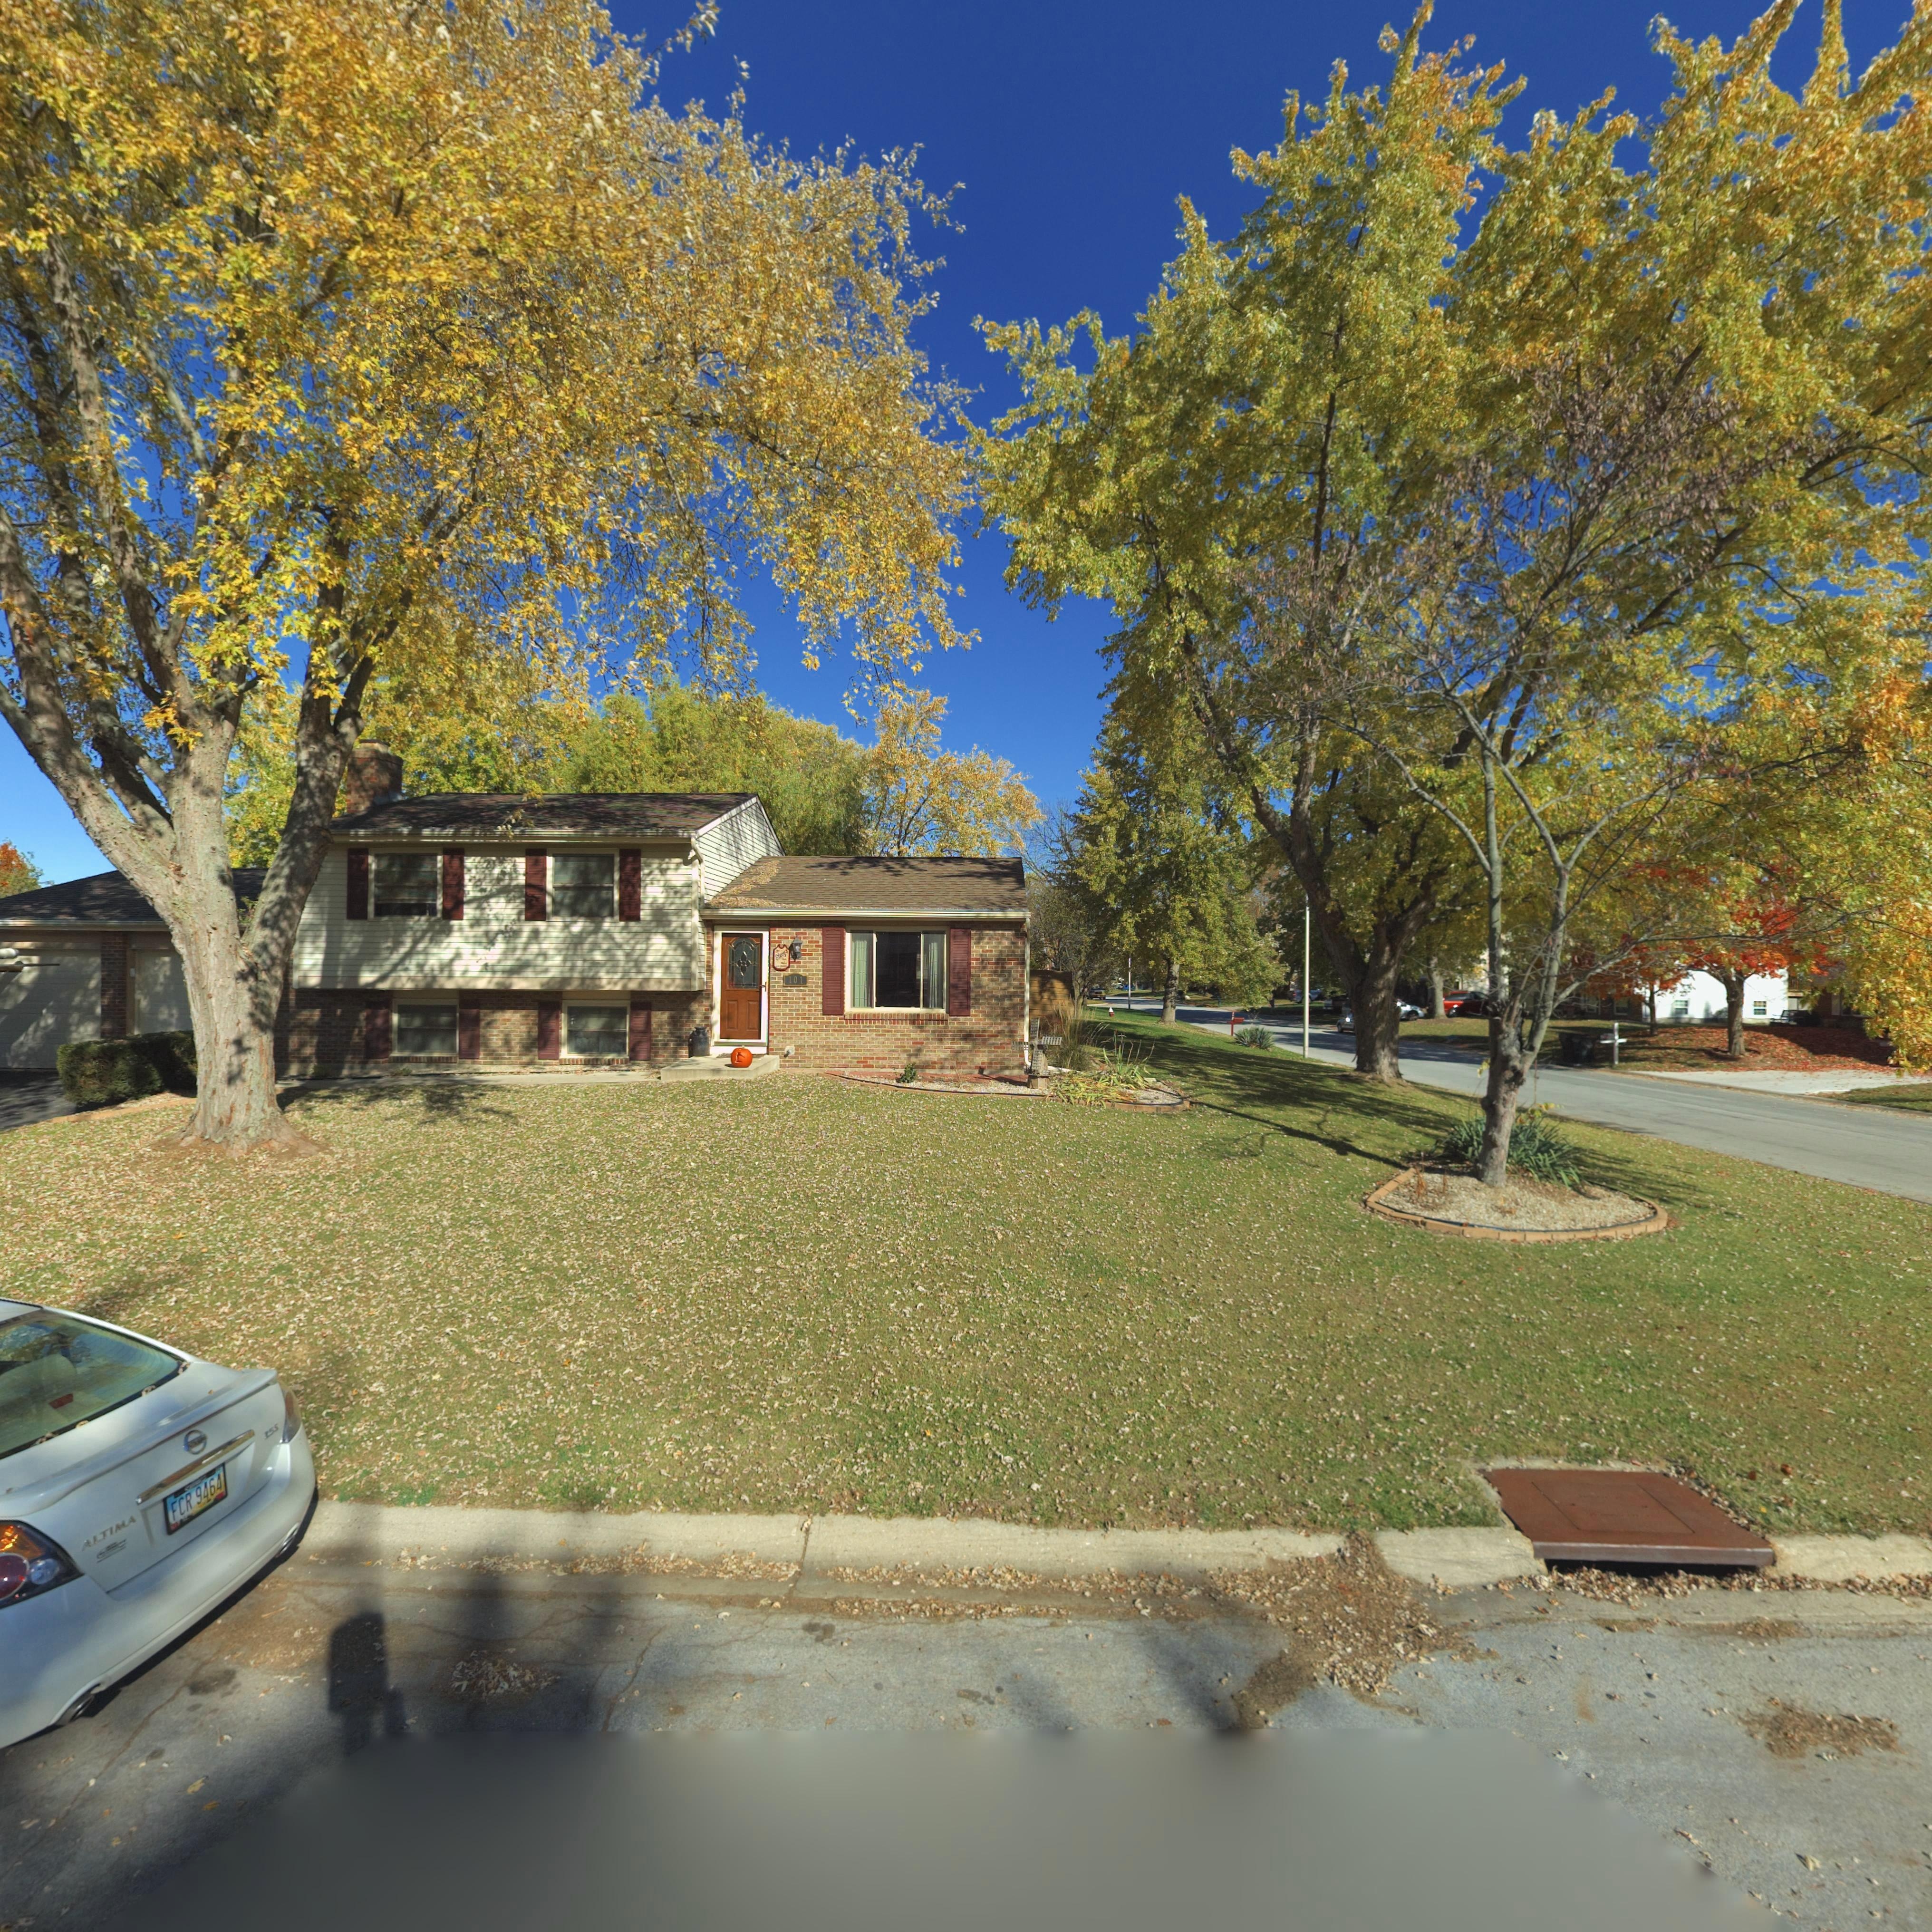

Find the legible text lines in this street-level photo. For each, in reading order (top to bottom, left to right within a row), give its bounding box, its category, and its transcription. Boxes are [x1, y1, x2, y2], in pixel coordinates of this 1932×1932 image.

[788, 975, 803, 985] StreetNumber: 101